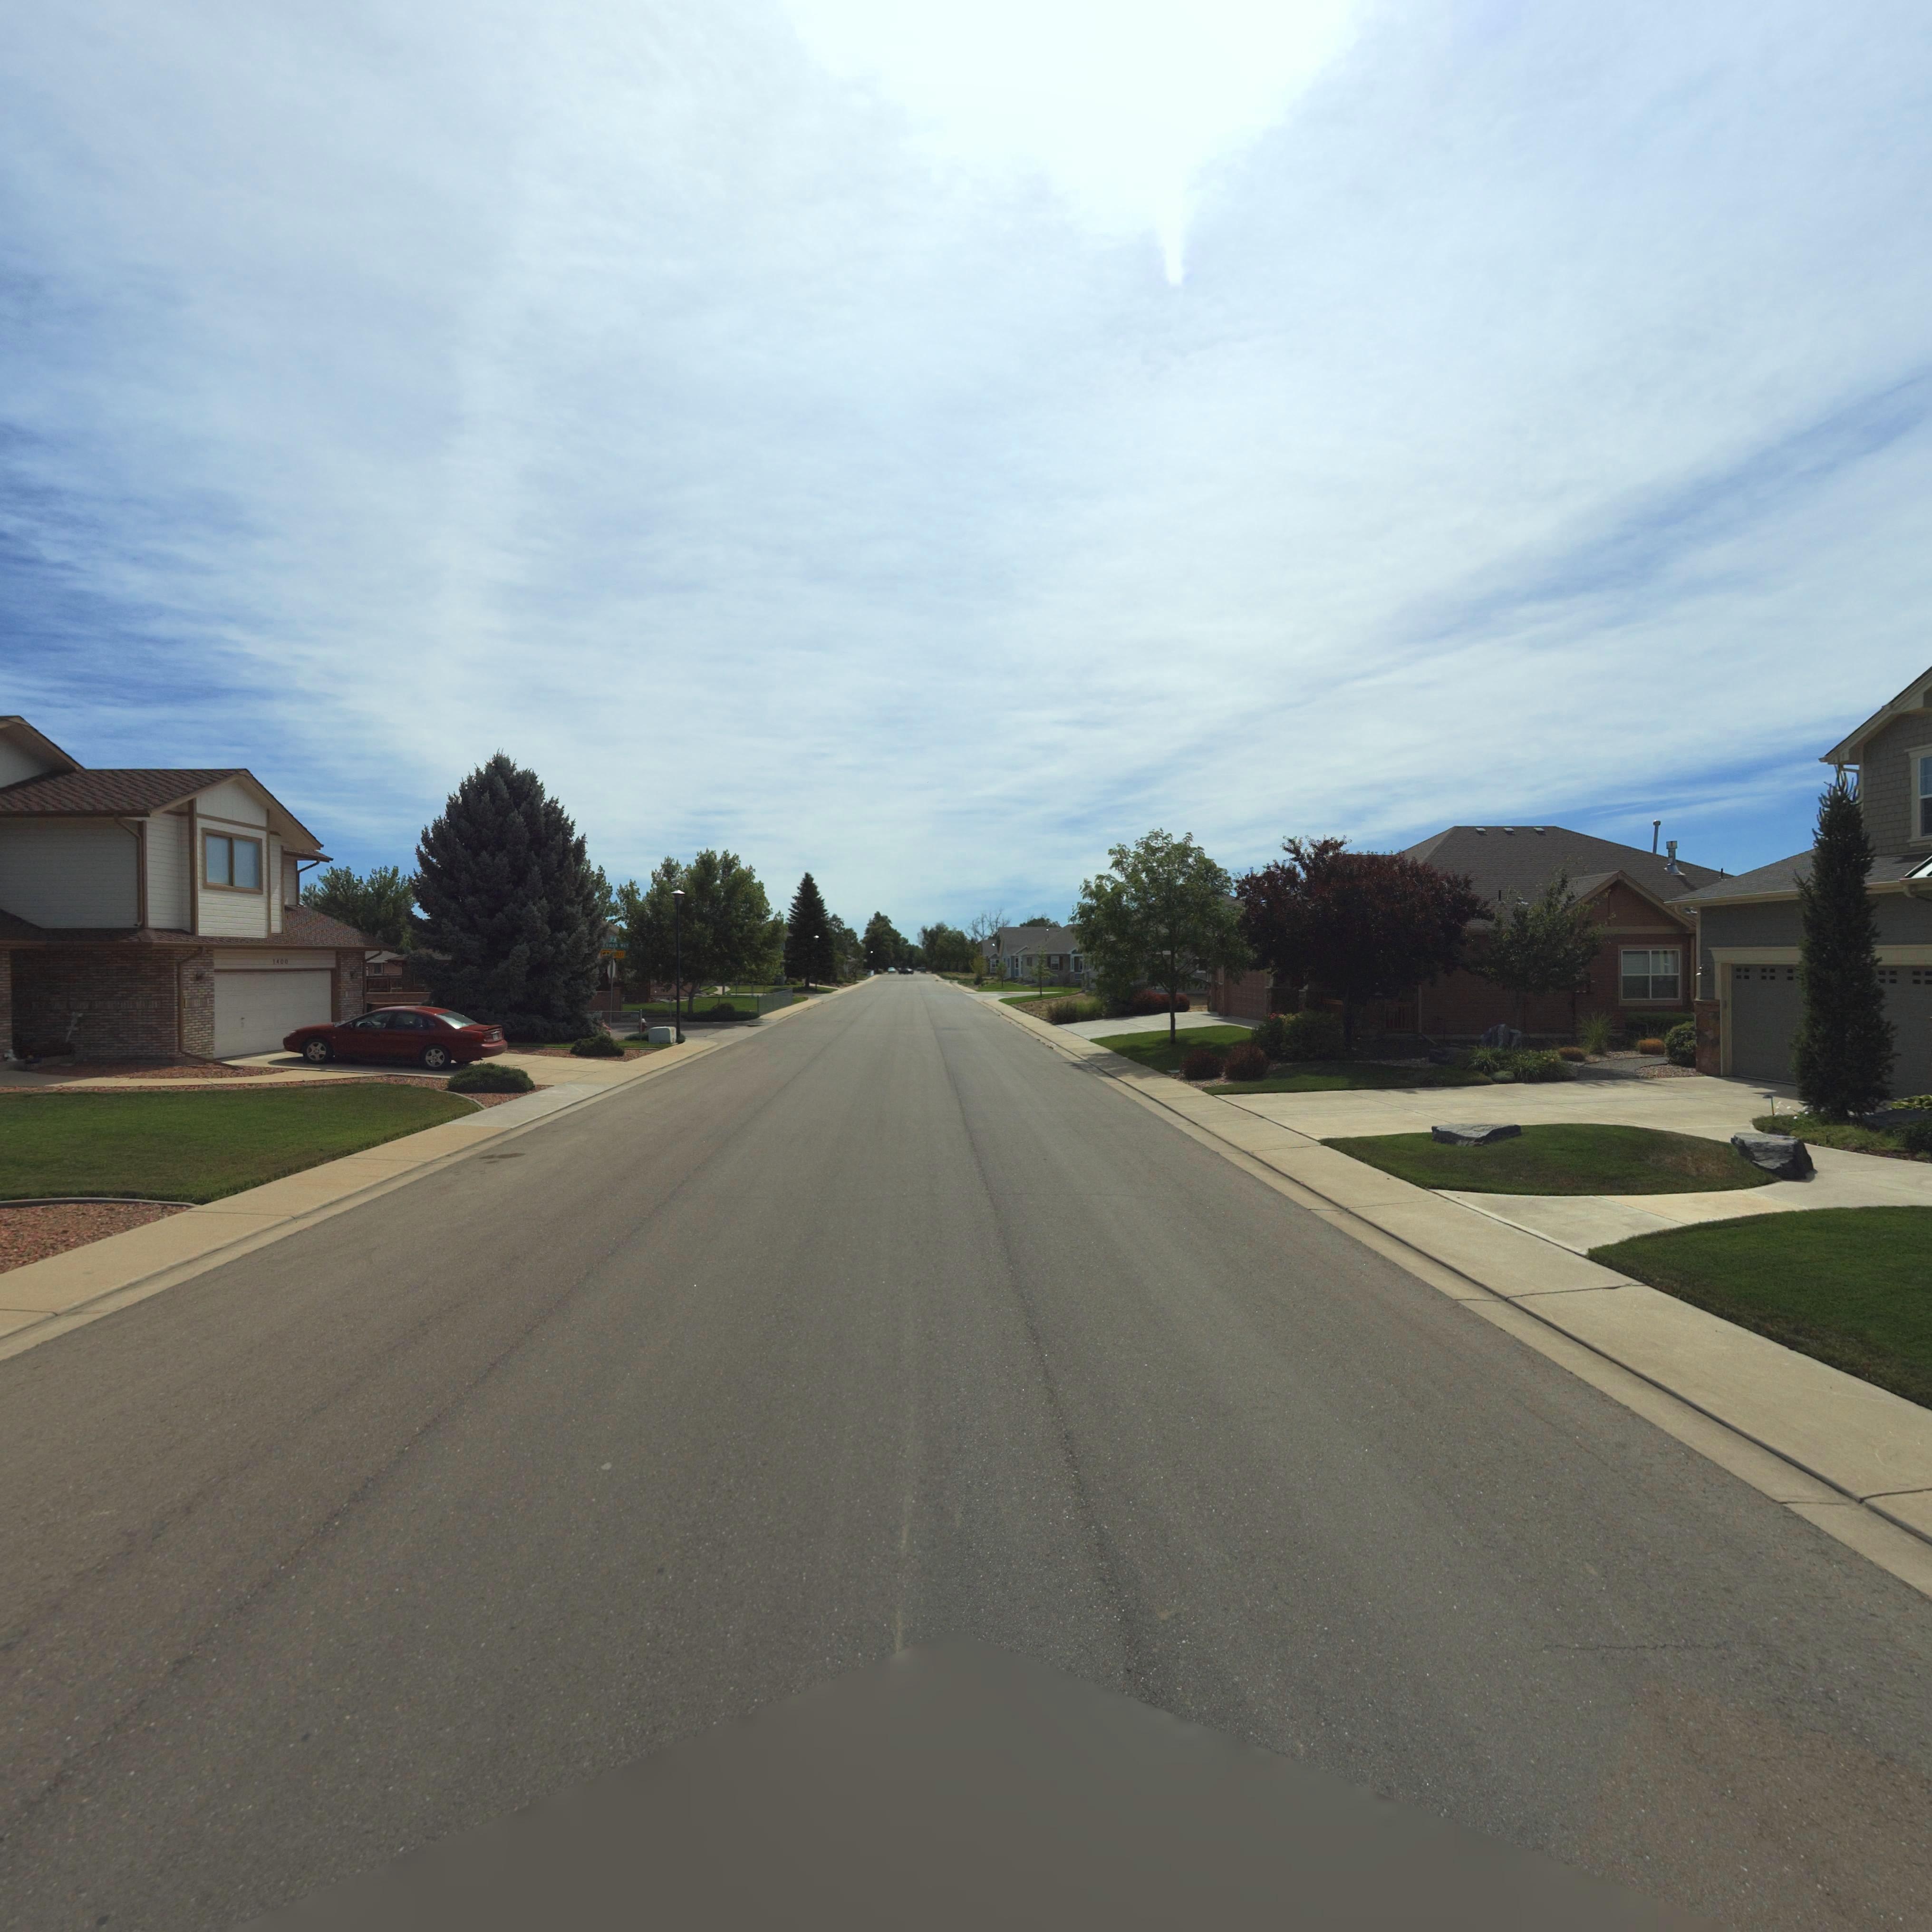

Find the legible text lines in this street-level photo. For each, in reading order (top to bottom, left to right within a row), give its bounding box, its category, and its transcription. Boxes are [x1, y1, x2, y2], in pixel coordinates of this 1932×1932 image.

[605, 943, 629, 948] StreetName: RMAN WAY
[272, 958, 288, 965] StreetNumber: 1400